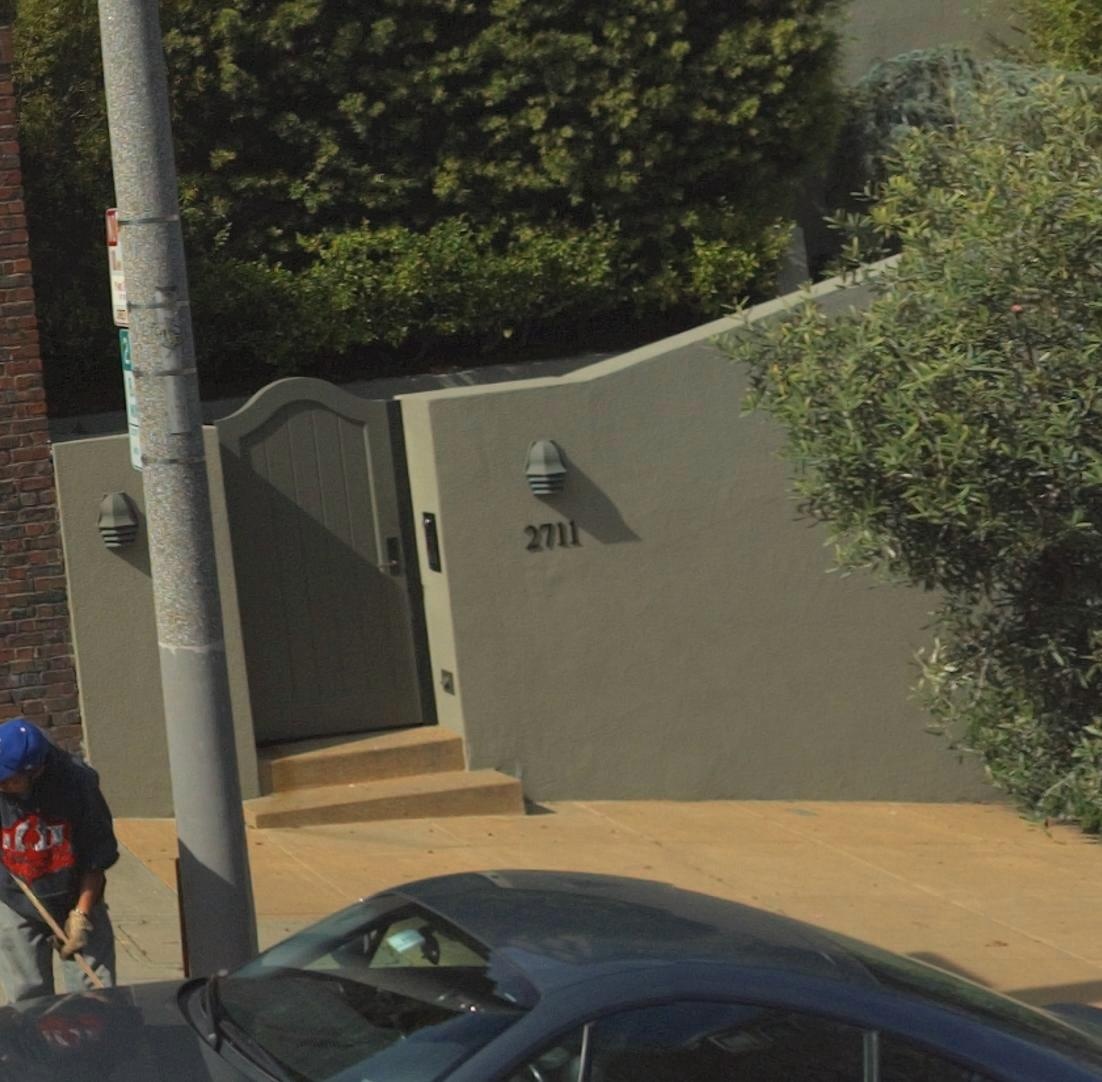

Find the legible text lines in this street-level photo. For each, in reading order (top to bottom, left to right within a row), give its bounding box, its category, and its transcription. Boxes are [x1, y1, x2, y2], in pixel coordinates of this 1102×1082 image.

[523, 518, 582, 553] StreetNumber: 2711